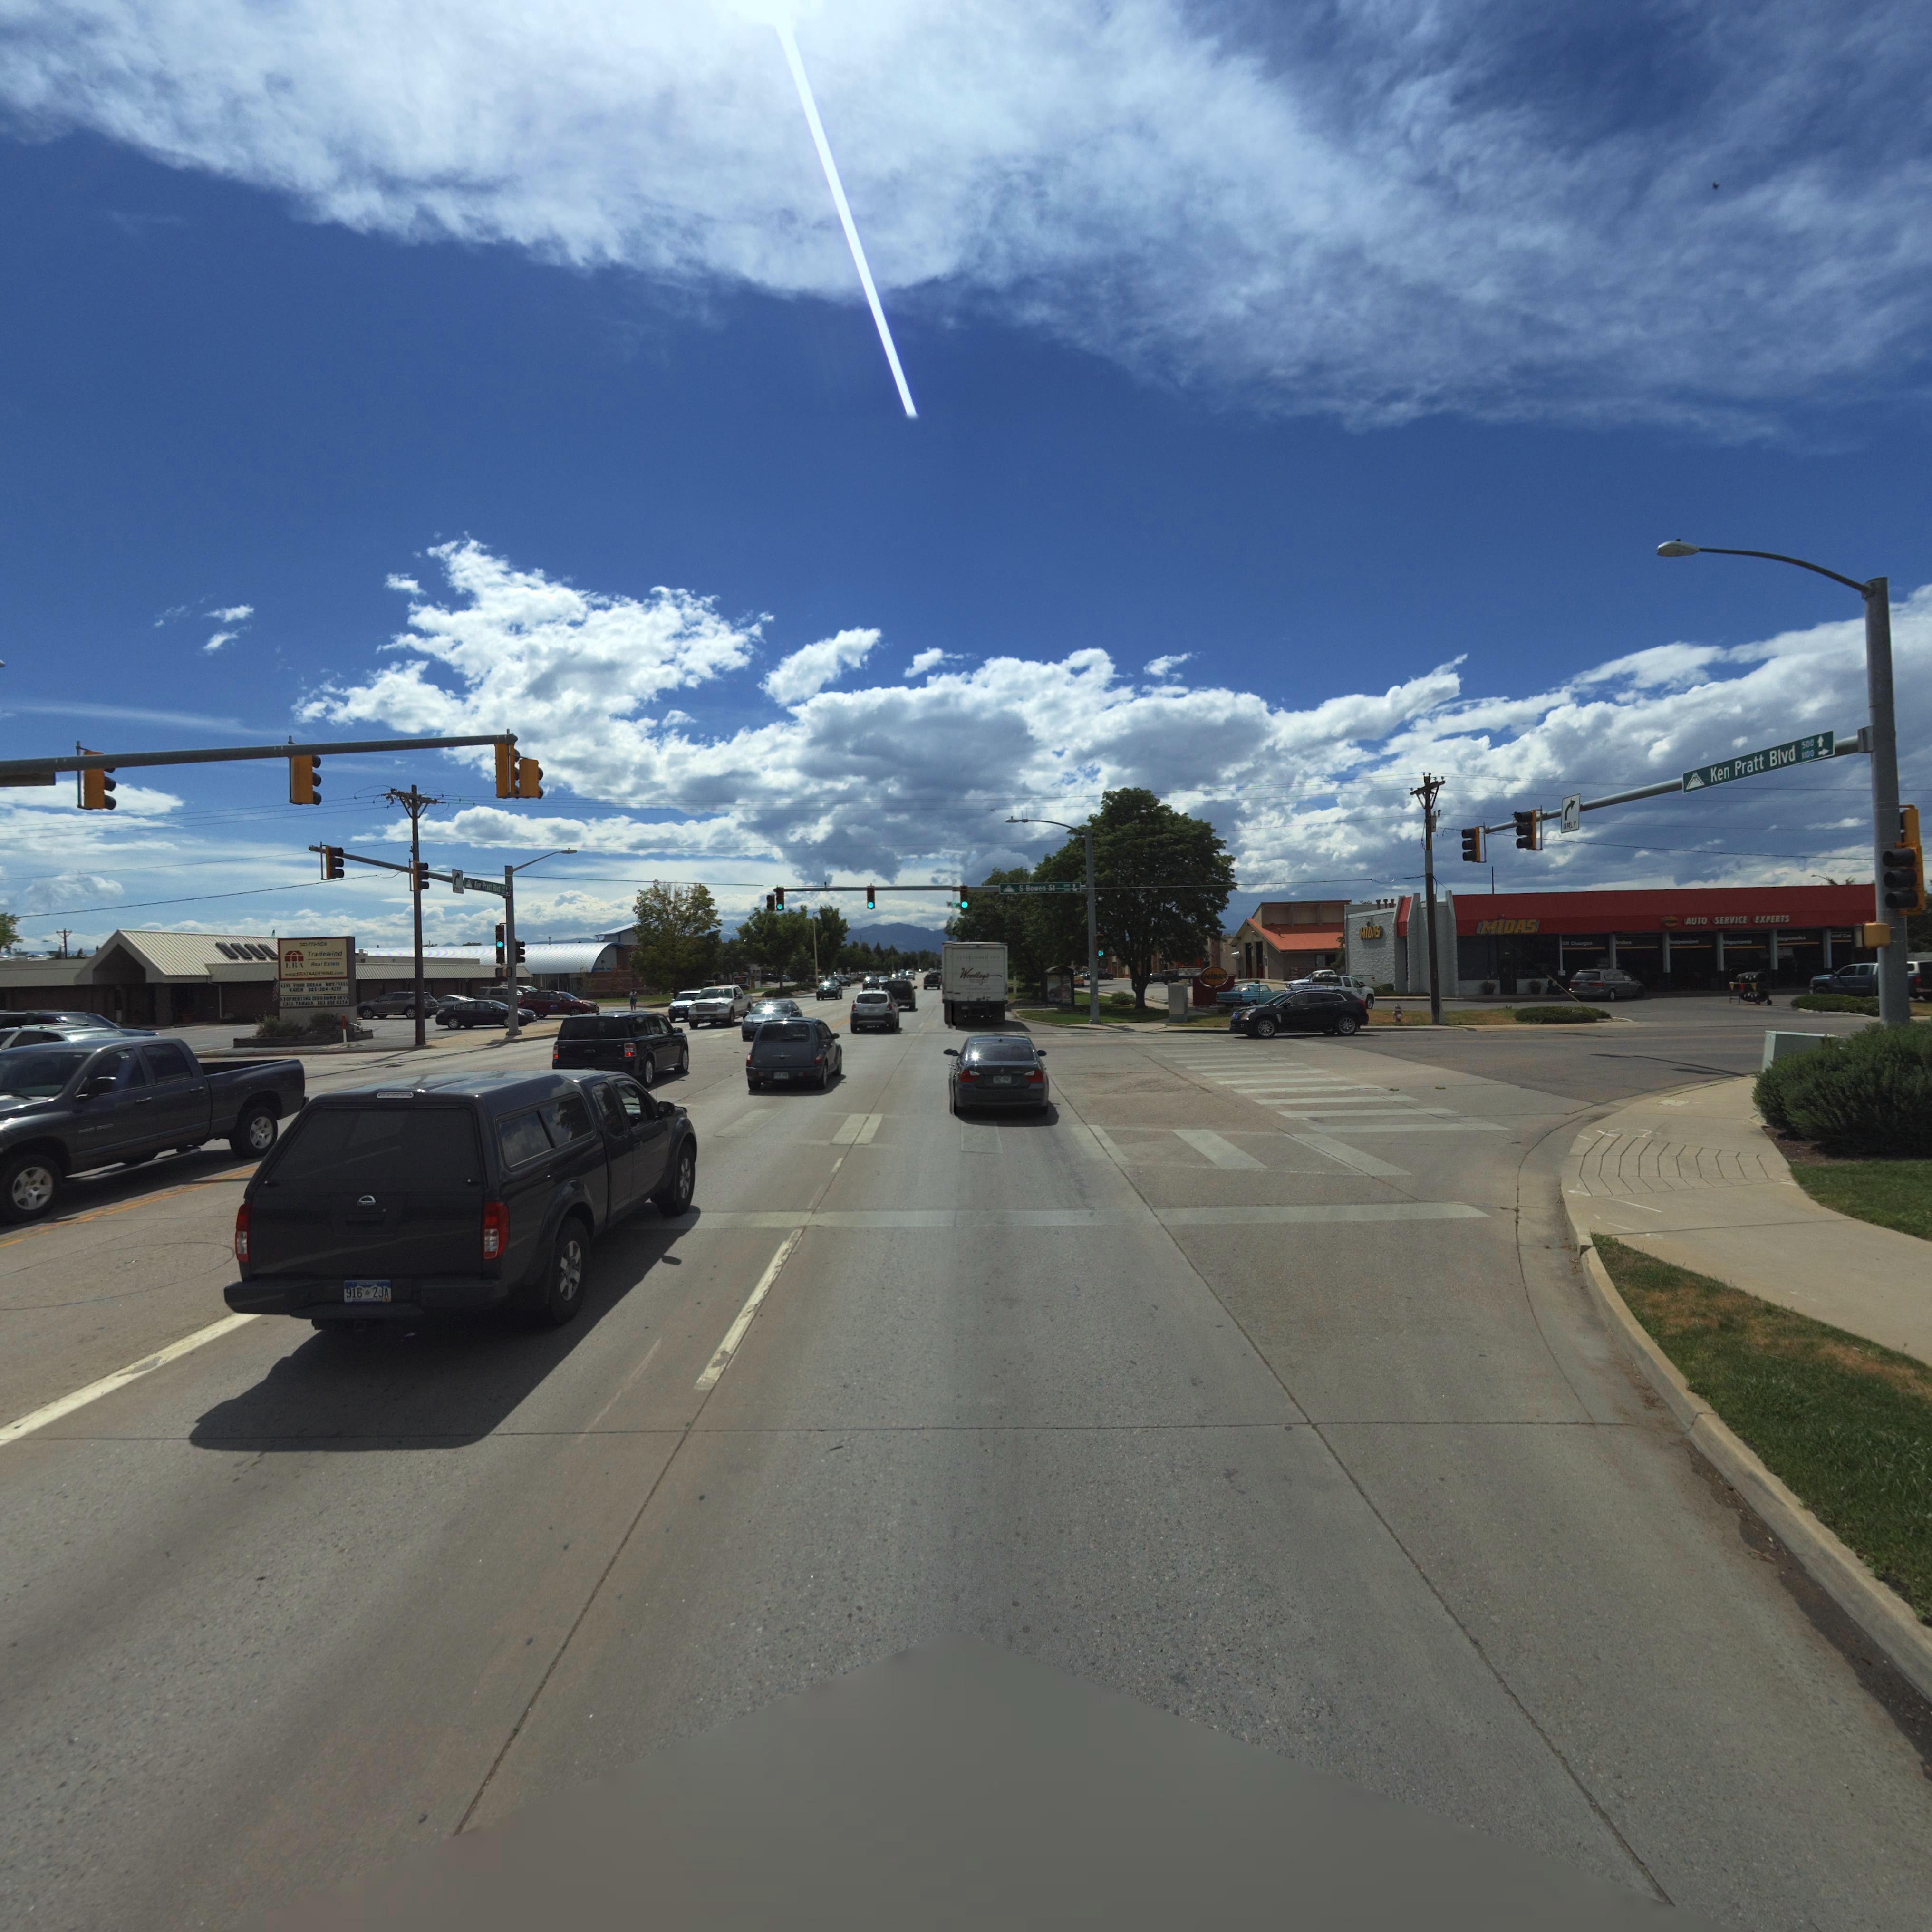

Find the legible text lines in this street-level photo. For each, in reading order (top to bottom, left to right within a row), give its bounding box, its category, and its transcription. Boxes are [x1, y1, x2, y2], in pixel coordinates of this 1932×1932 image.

[1801, 738, 1815, 749] StreetNumberRange: 500
[1801, 748, 1829, 760] StreetNumberRange: 1100 ->
[1710, 744, 1796, 783] StreetName: Ken Pratt Blvd
[473, 880, 501, 892] StreetName: Ken Pratt Blvd
[1018, 884, 1055, 892] StreetName: S Bowen St
[1063, 883, 1071, 887] StreetNumberRange: 1200
[1064, 888, 1078, 891] StreetNumberRange: 500 ->
[1479, 913, 1537, 935] BusinessName: MiDAS
[1359, 925, 1380, 939] BusinessName: MIDAS
[307, 949, 343, 957] BusinessName: Tradewind
[310, 961, 340, 966] BusinessName: Real Estate
[1203, 971, 1227, 980] BusinessName: MiDAS